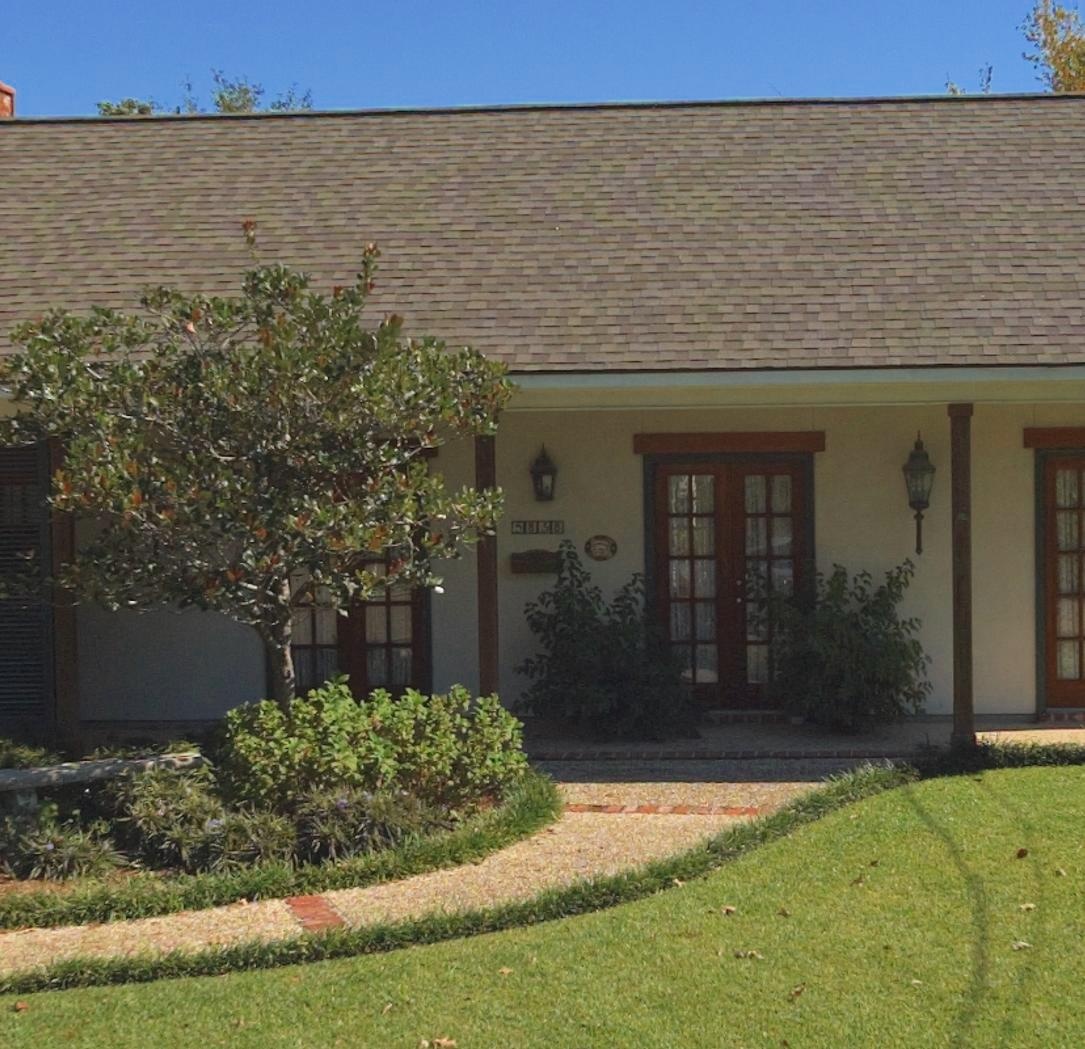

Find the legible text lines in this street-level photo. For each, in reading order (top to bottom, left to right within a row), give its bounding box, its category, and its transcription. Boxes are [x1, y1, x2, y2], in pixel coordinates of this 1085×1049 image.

[513, 520, 562, 535] StreetNumber: 5838